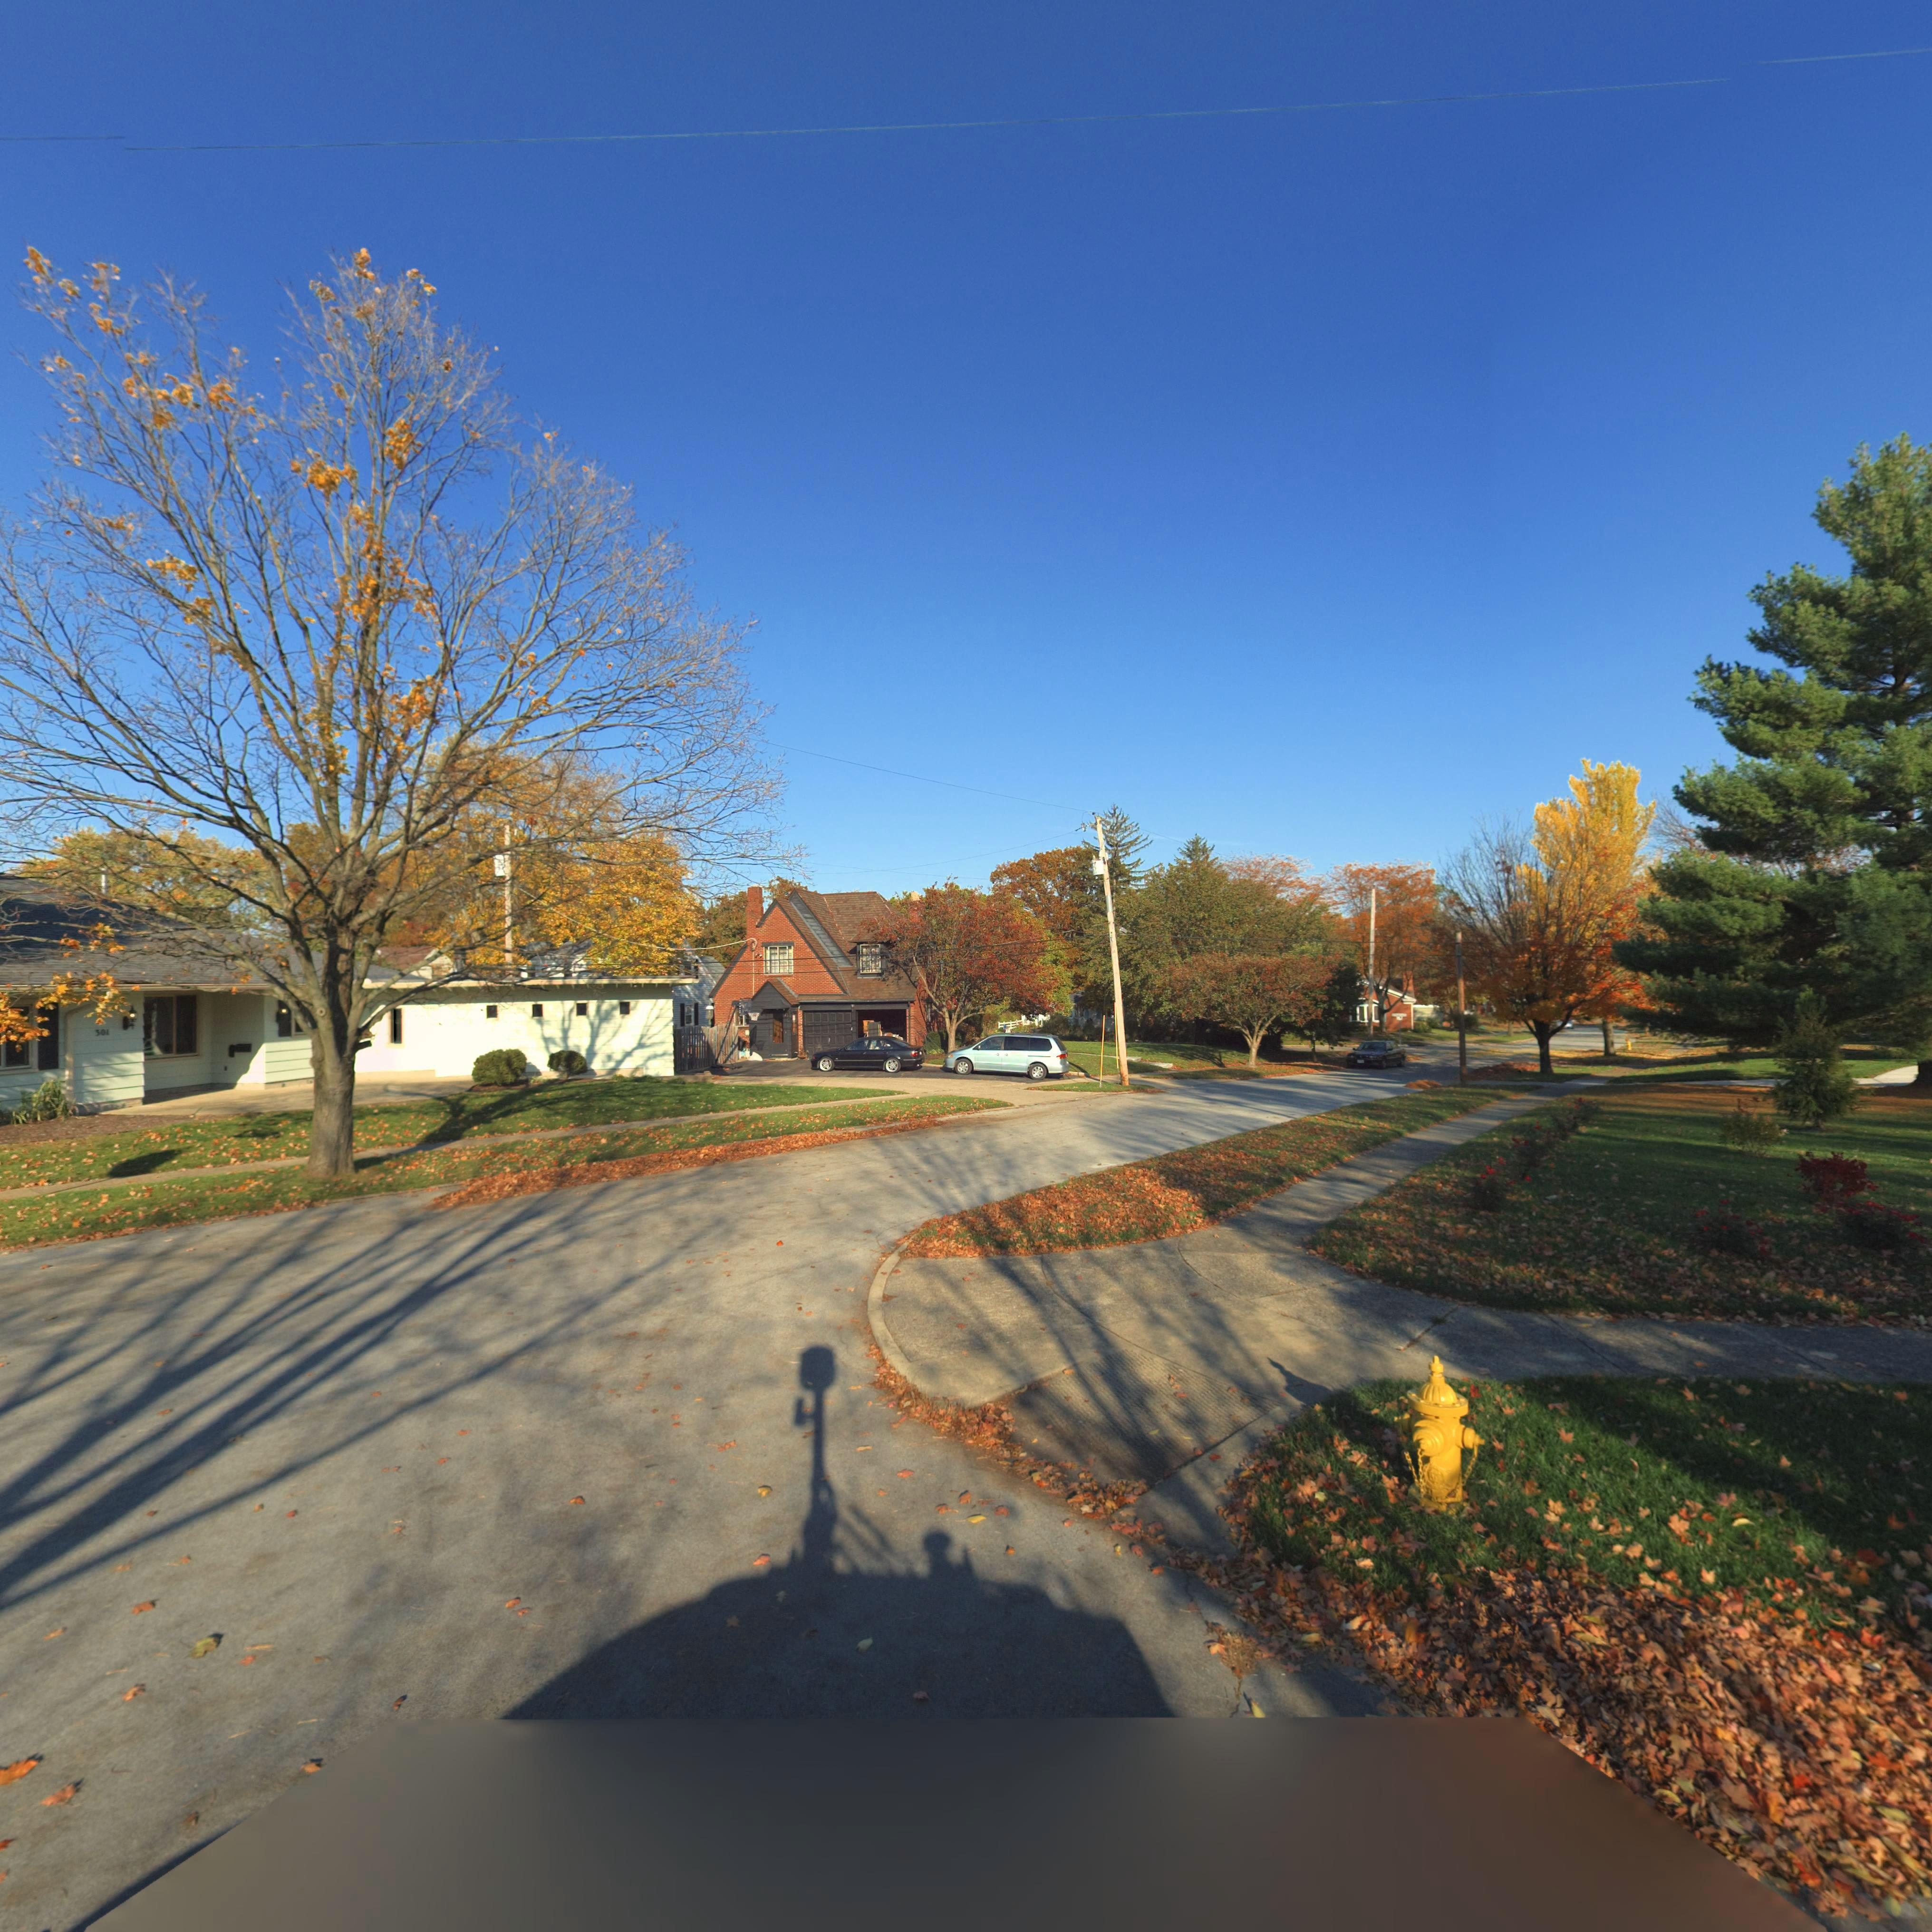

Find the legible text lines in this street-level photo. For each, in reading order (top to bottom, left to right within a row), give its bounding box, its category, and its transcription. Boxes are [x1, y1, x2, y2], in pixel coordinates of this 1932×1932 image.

[94, 1028, 109, 1037] StreetNumber: 501